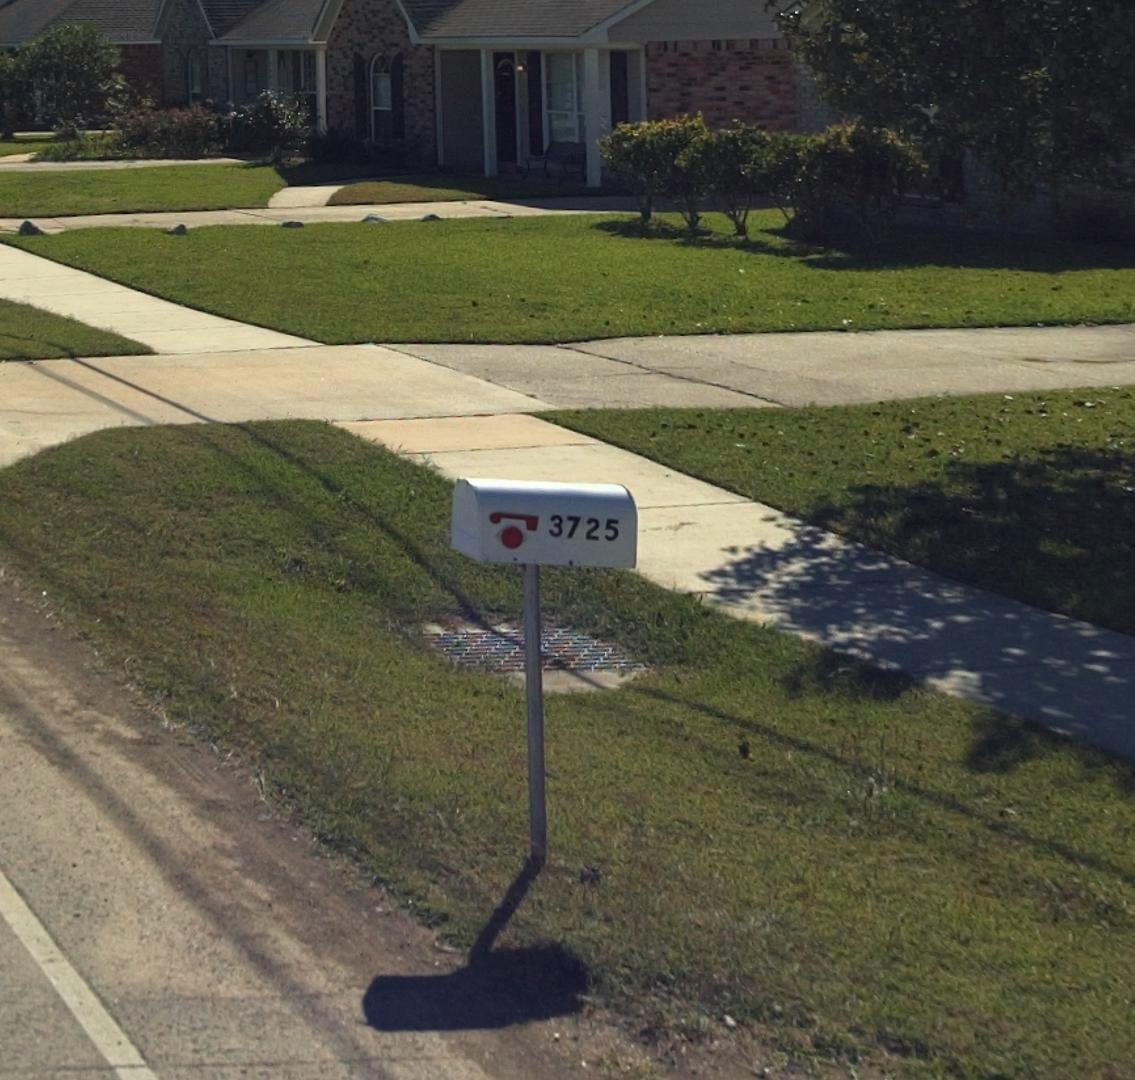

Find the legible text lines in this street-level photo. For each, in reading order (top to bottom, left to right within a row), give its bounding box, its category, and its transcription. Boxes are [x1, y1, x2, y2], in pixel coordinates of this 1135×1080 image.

[545, 510, 623, 546] StreetNumber: 3725